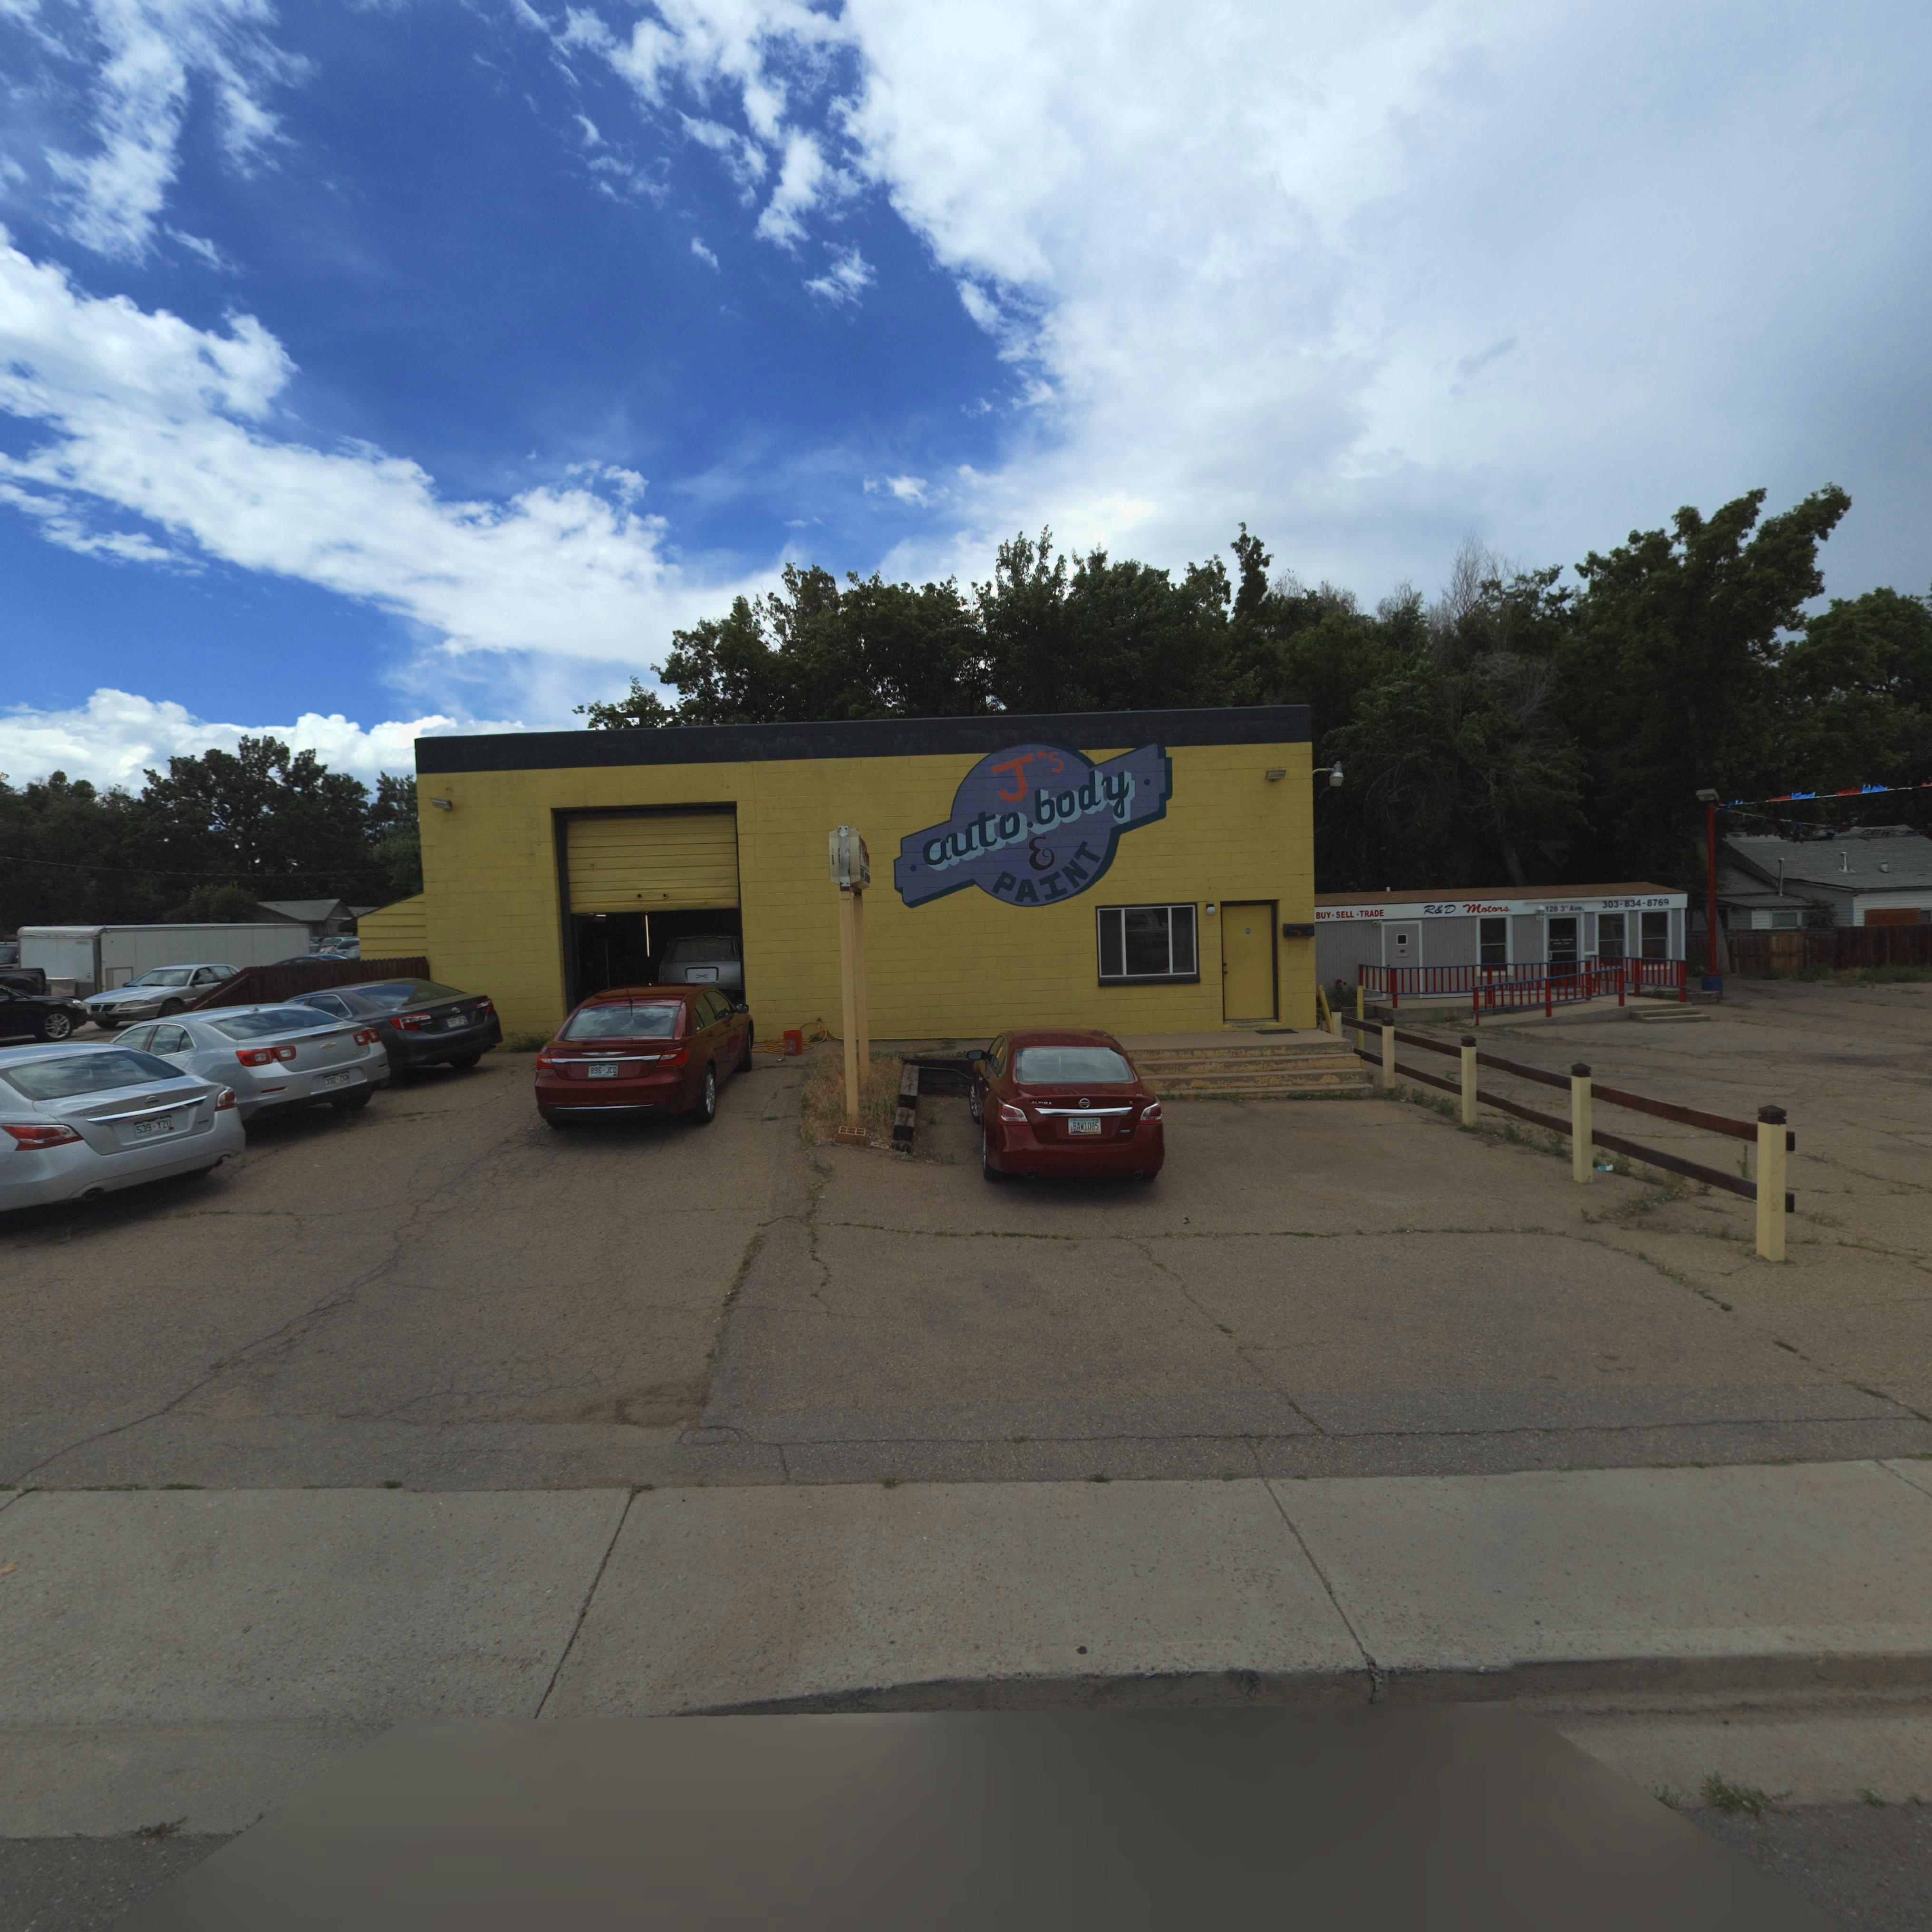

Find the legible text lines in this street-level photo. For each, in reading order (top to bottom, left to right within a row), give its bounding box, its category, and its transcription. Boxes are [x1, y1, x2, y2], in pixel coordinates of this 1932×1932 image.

[990, 749, 1065, 804] BusinessName: J's
[921, 769, 1136, 872] BusinessName: autobody
[1028, 833, 1055, 871] BusinessName: &
[990, 839, 1101, 903] BusinessName: PAINT
[1423, 903, 1510, 915] BusinessName: R&D Motors
[1545, 905, 1558, 912] StreetNumber: 128
[1560, 905, 1584, 912] StreetName: 3rd Ave.